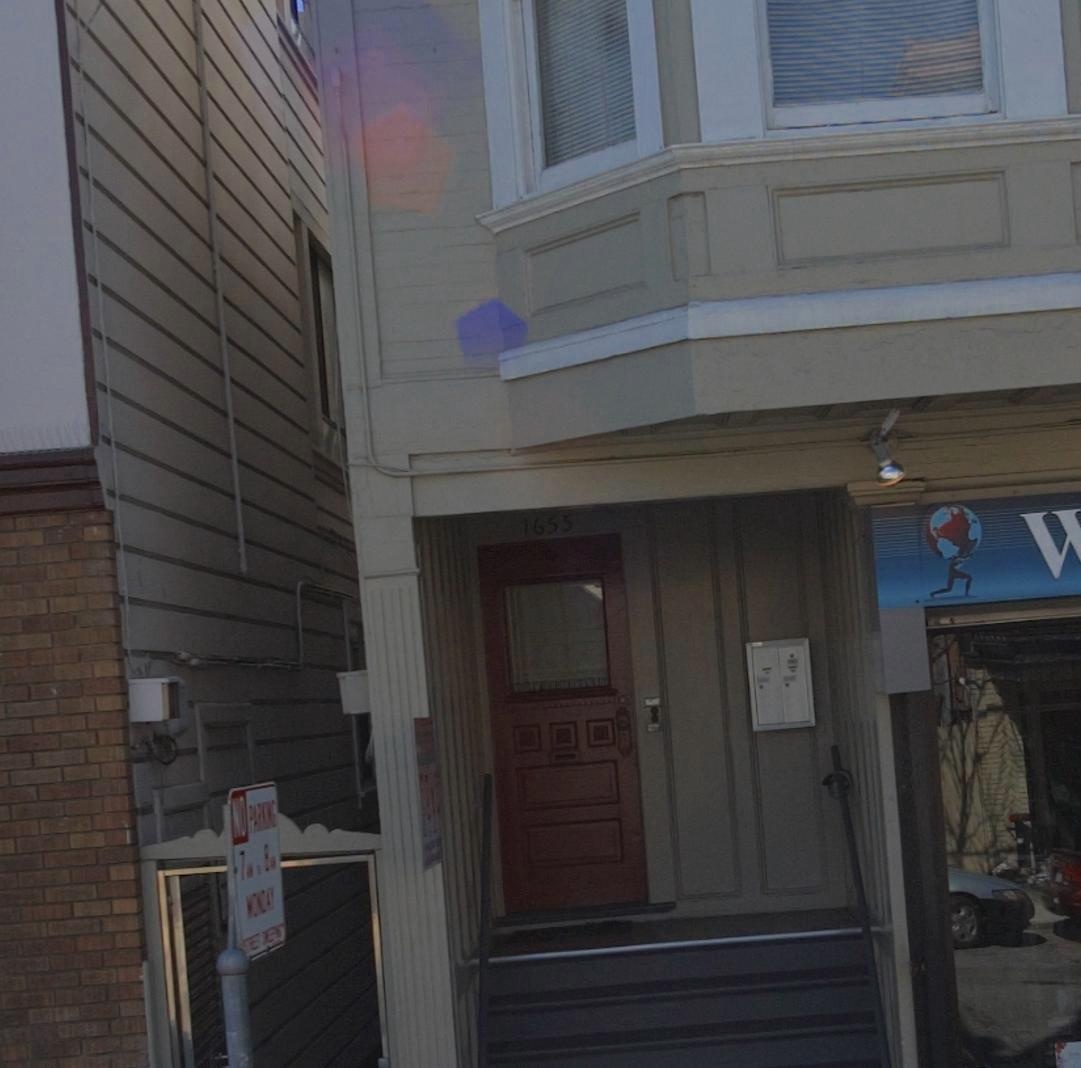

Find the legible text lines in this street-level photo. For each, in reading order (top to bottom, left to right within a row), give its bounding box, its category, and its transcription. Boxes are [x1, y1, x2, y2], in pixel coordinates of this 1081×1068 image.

[523, 513, 575, 536] StreetNumber: 1655
[231, 795, 277, 839] None: NO PARKIKNG
[238, 842, 278, 884] None: 7 ** ** 8 **
[245, 884, 277, 921] None: MONDAY